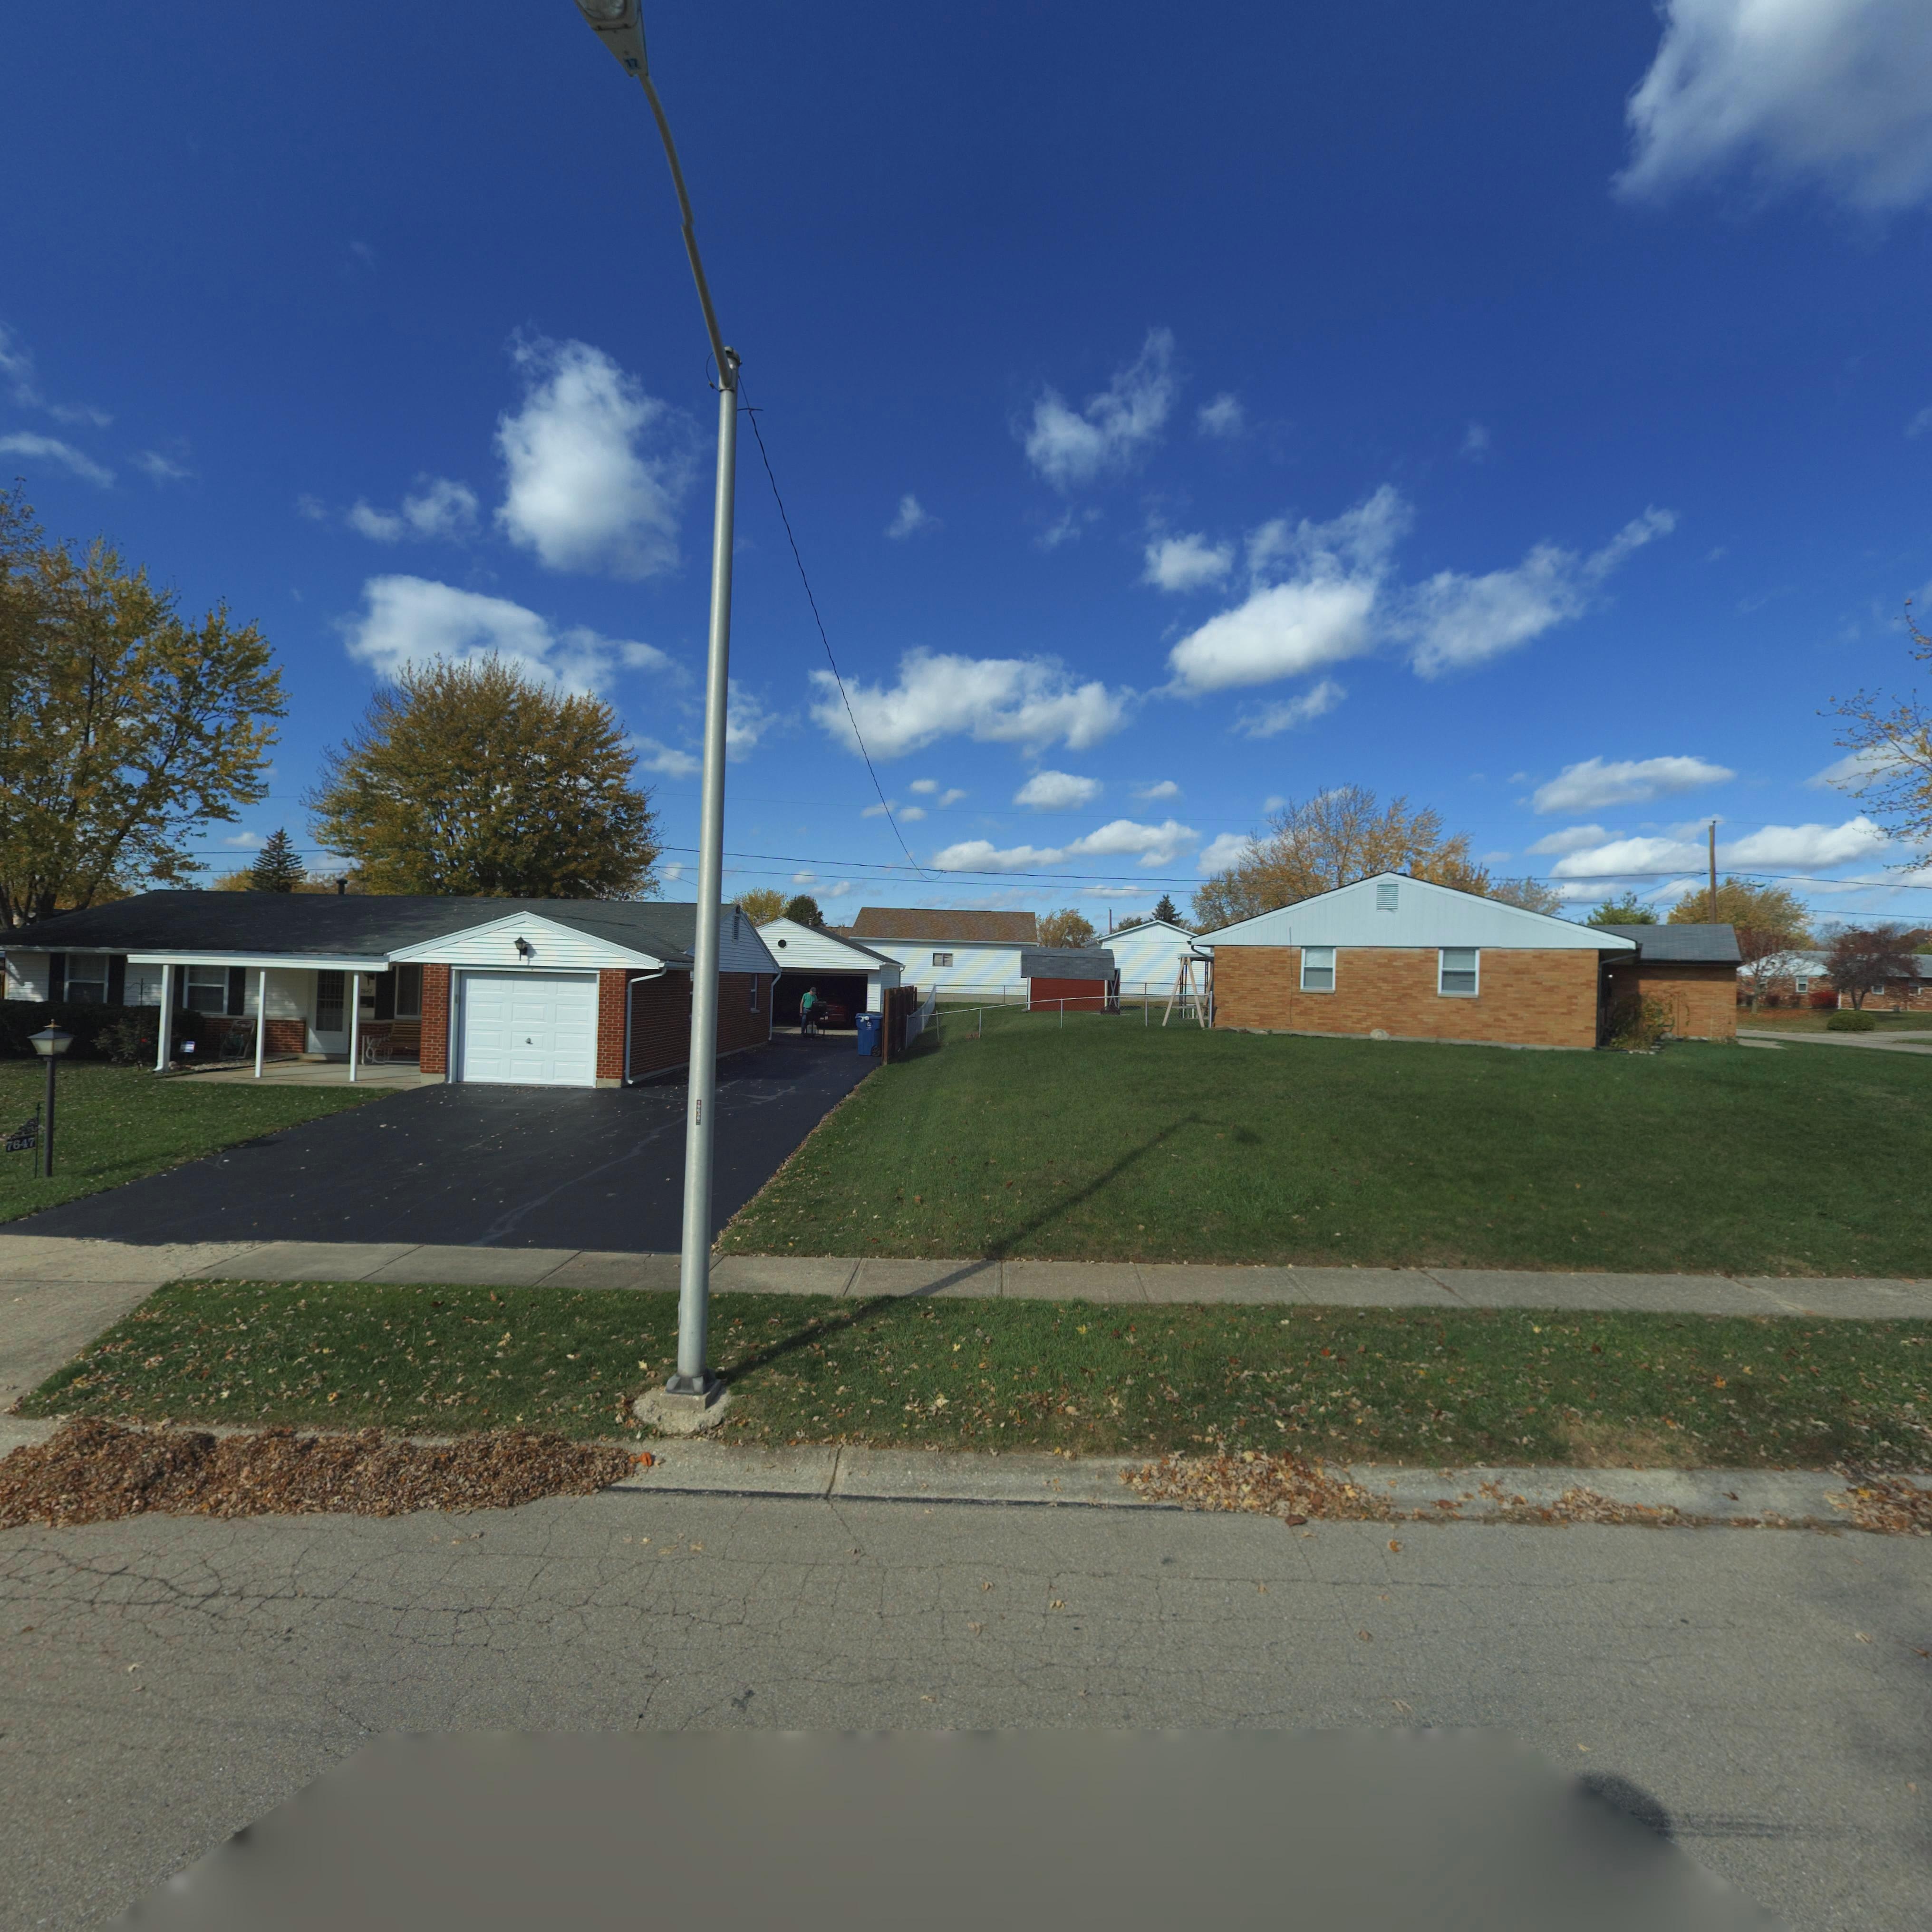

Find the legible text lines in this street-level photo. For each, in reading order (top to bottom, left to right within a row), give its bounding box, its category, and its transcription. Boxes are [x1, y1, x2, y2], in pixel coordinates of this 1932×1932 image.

[359, 988, 373, 995] StreetNumber: 7647
[4, 1136, 37, 1152] StreetNumber: 7647